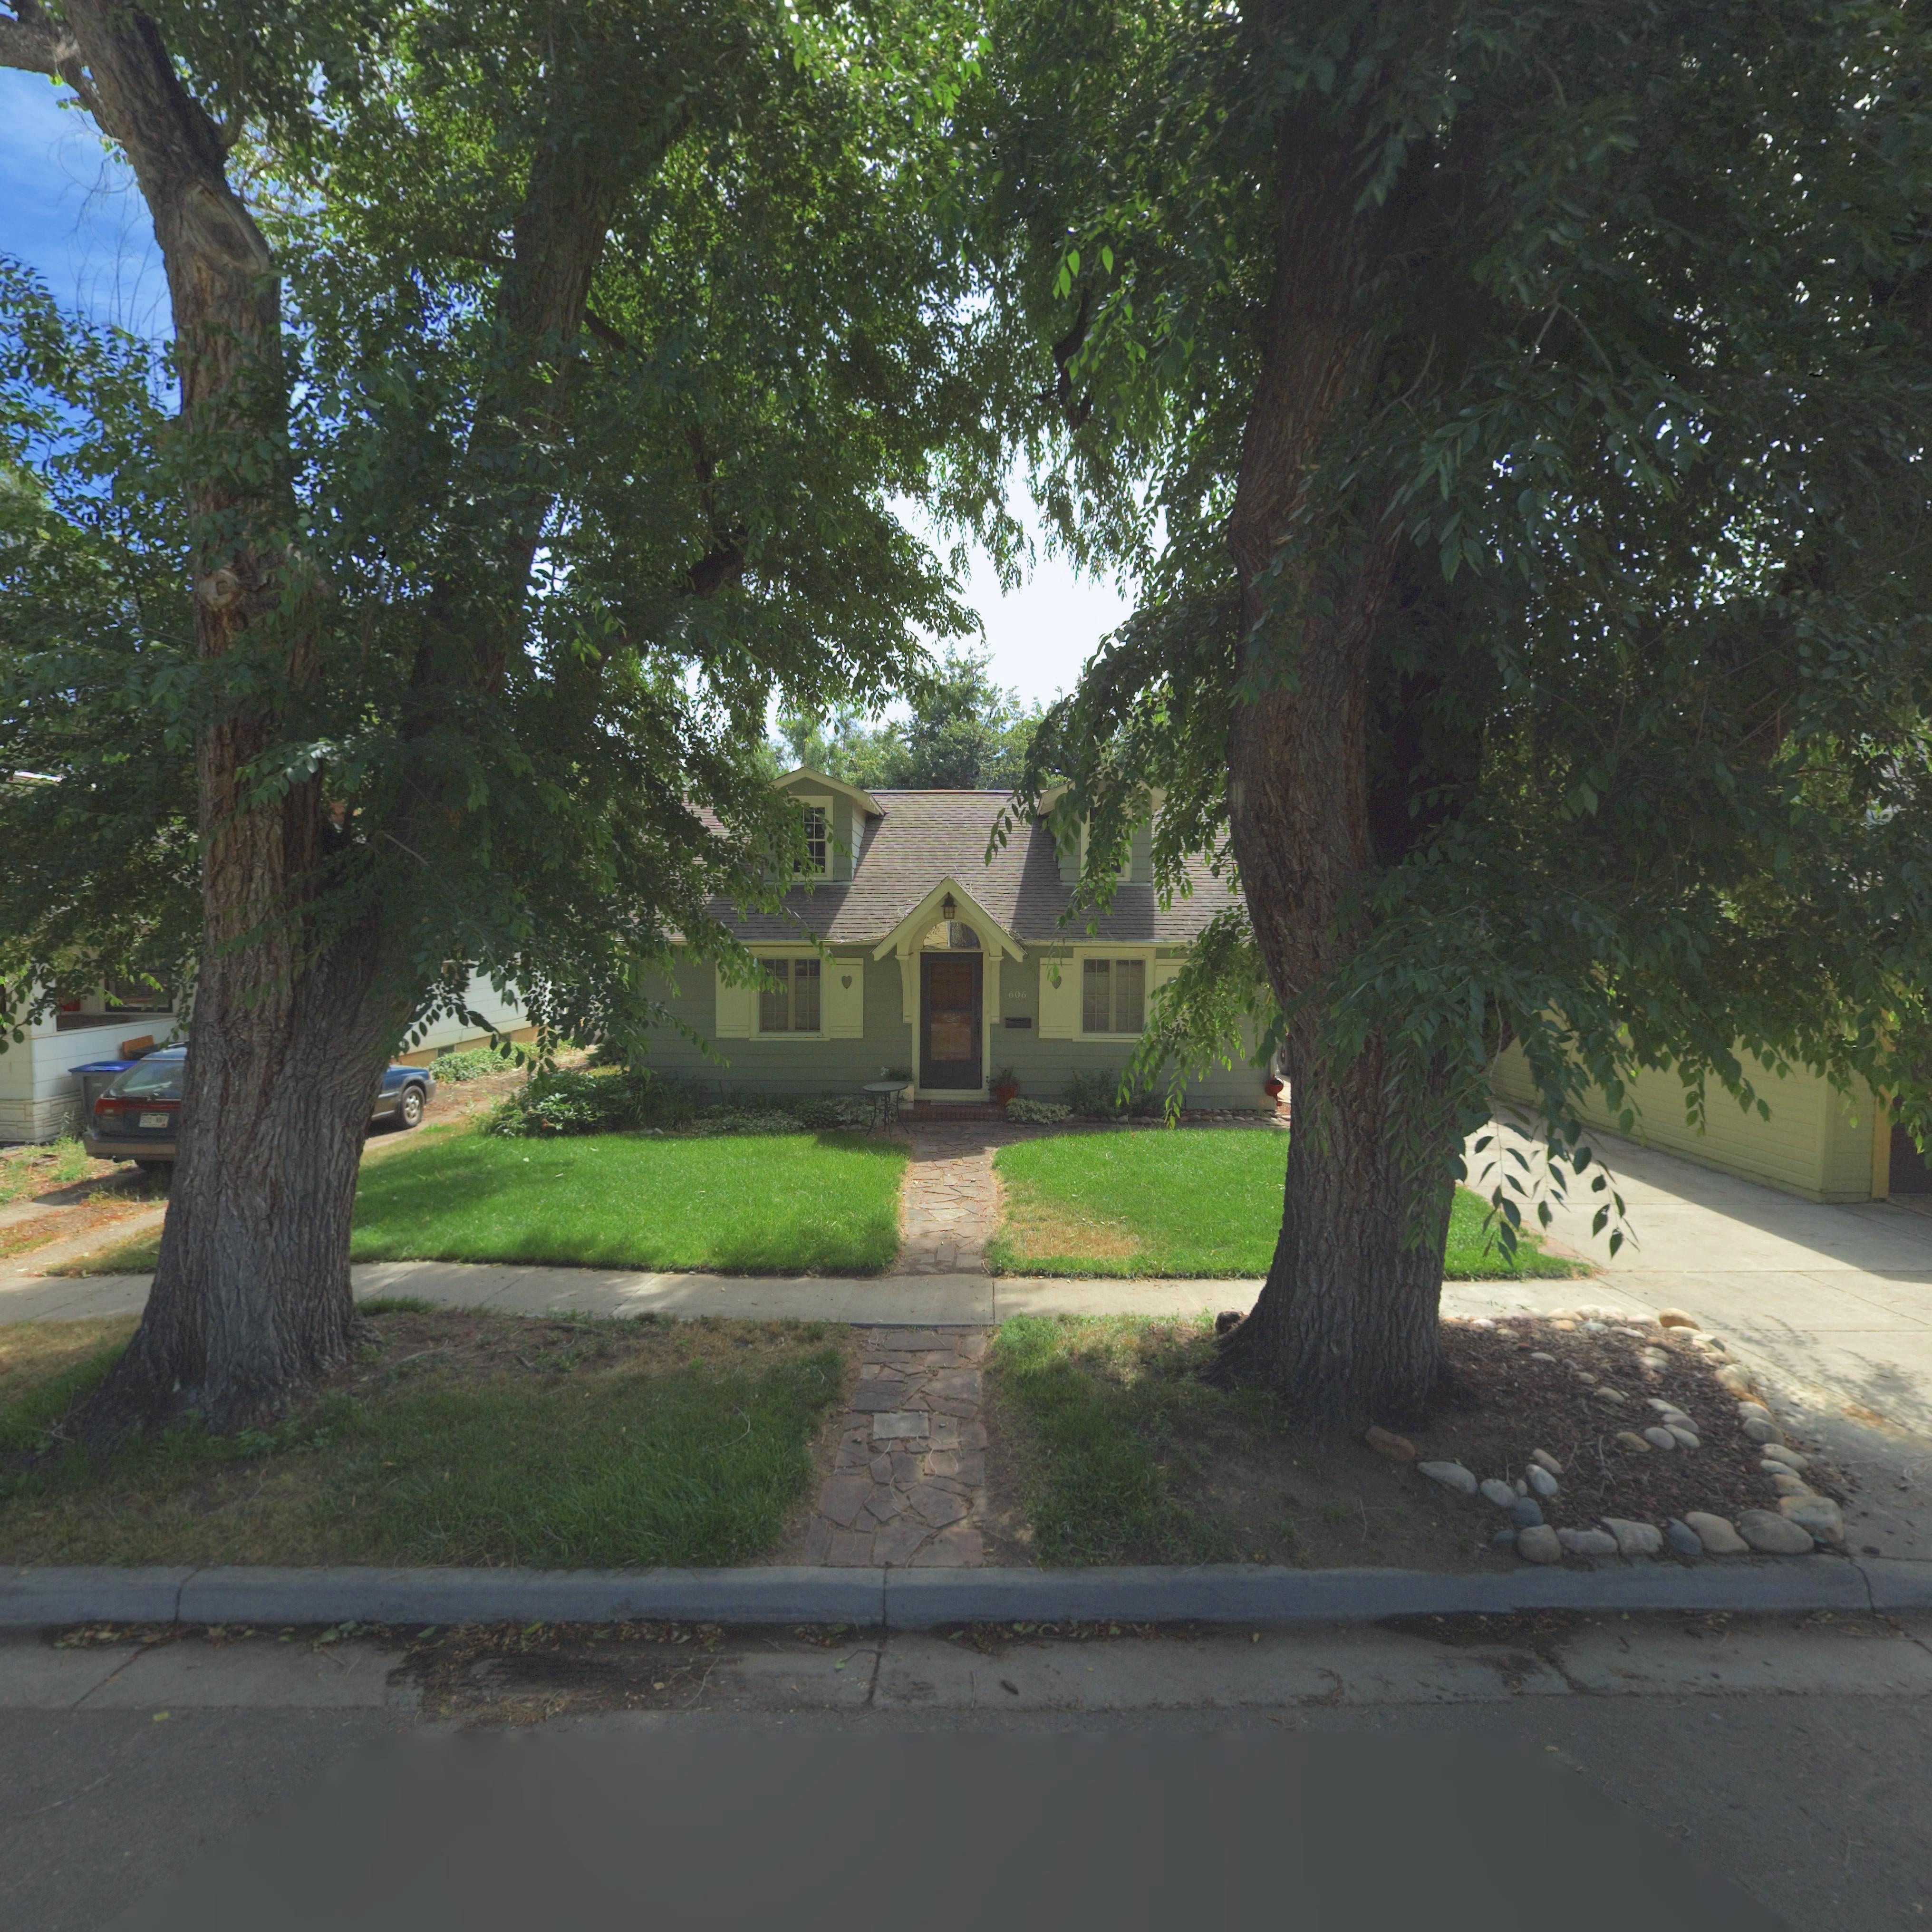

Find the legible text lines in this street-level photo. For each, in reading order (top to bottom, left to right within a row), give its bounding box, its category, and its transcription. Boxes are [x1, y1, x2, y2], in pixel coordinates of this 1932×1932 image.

[1008, 990, 1026, 998] StreetNumber: 606